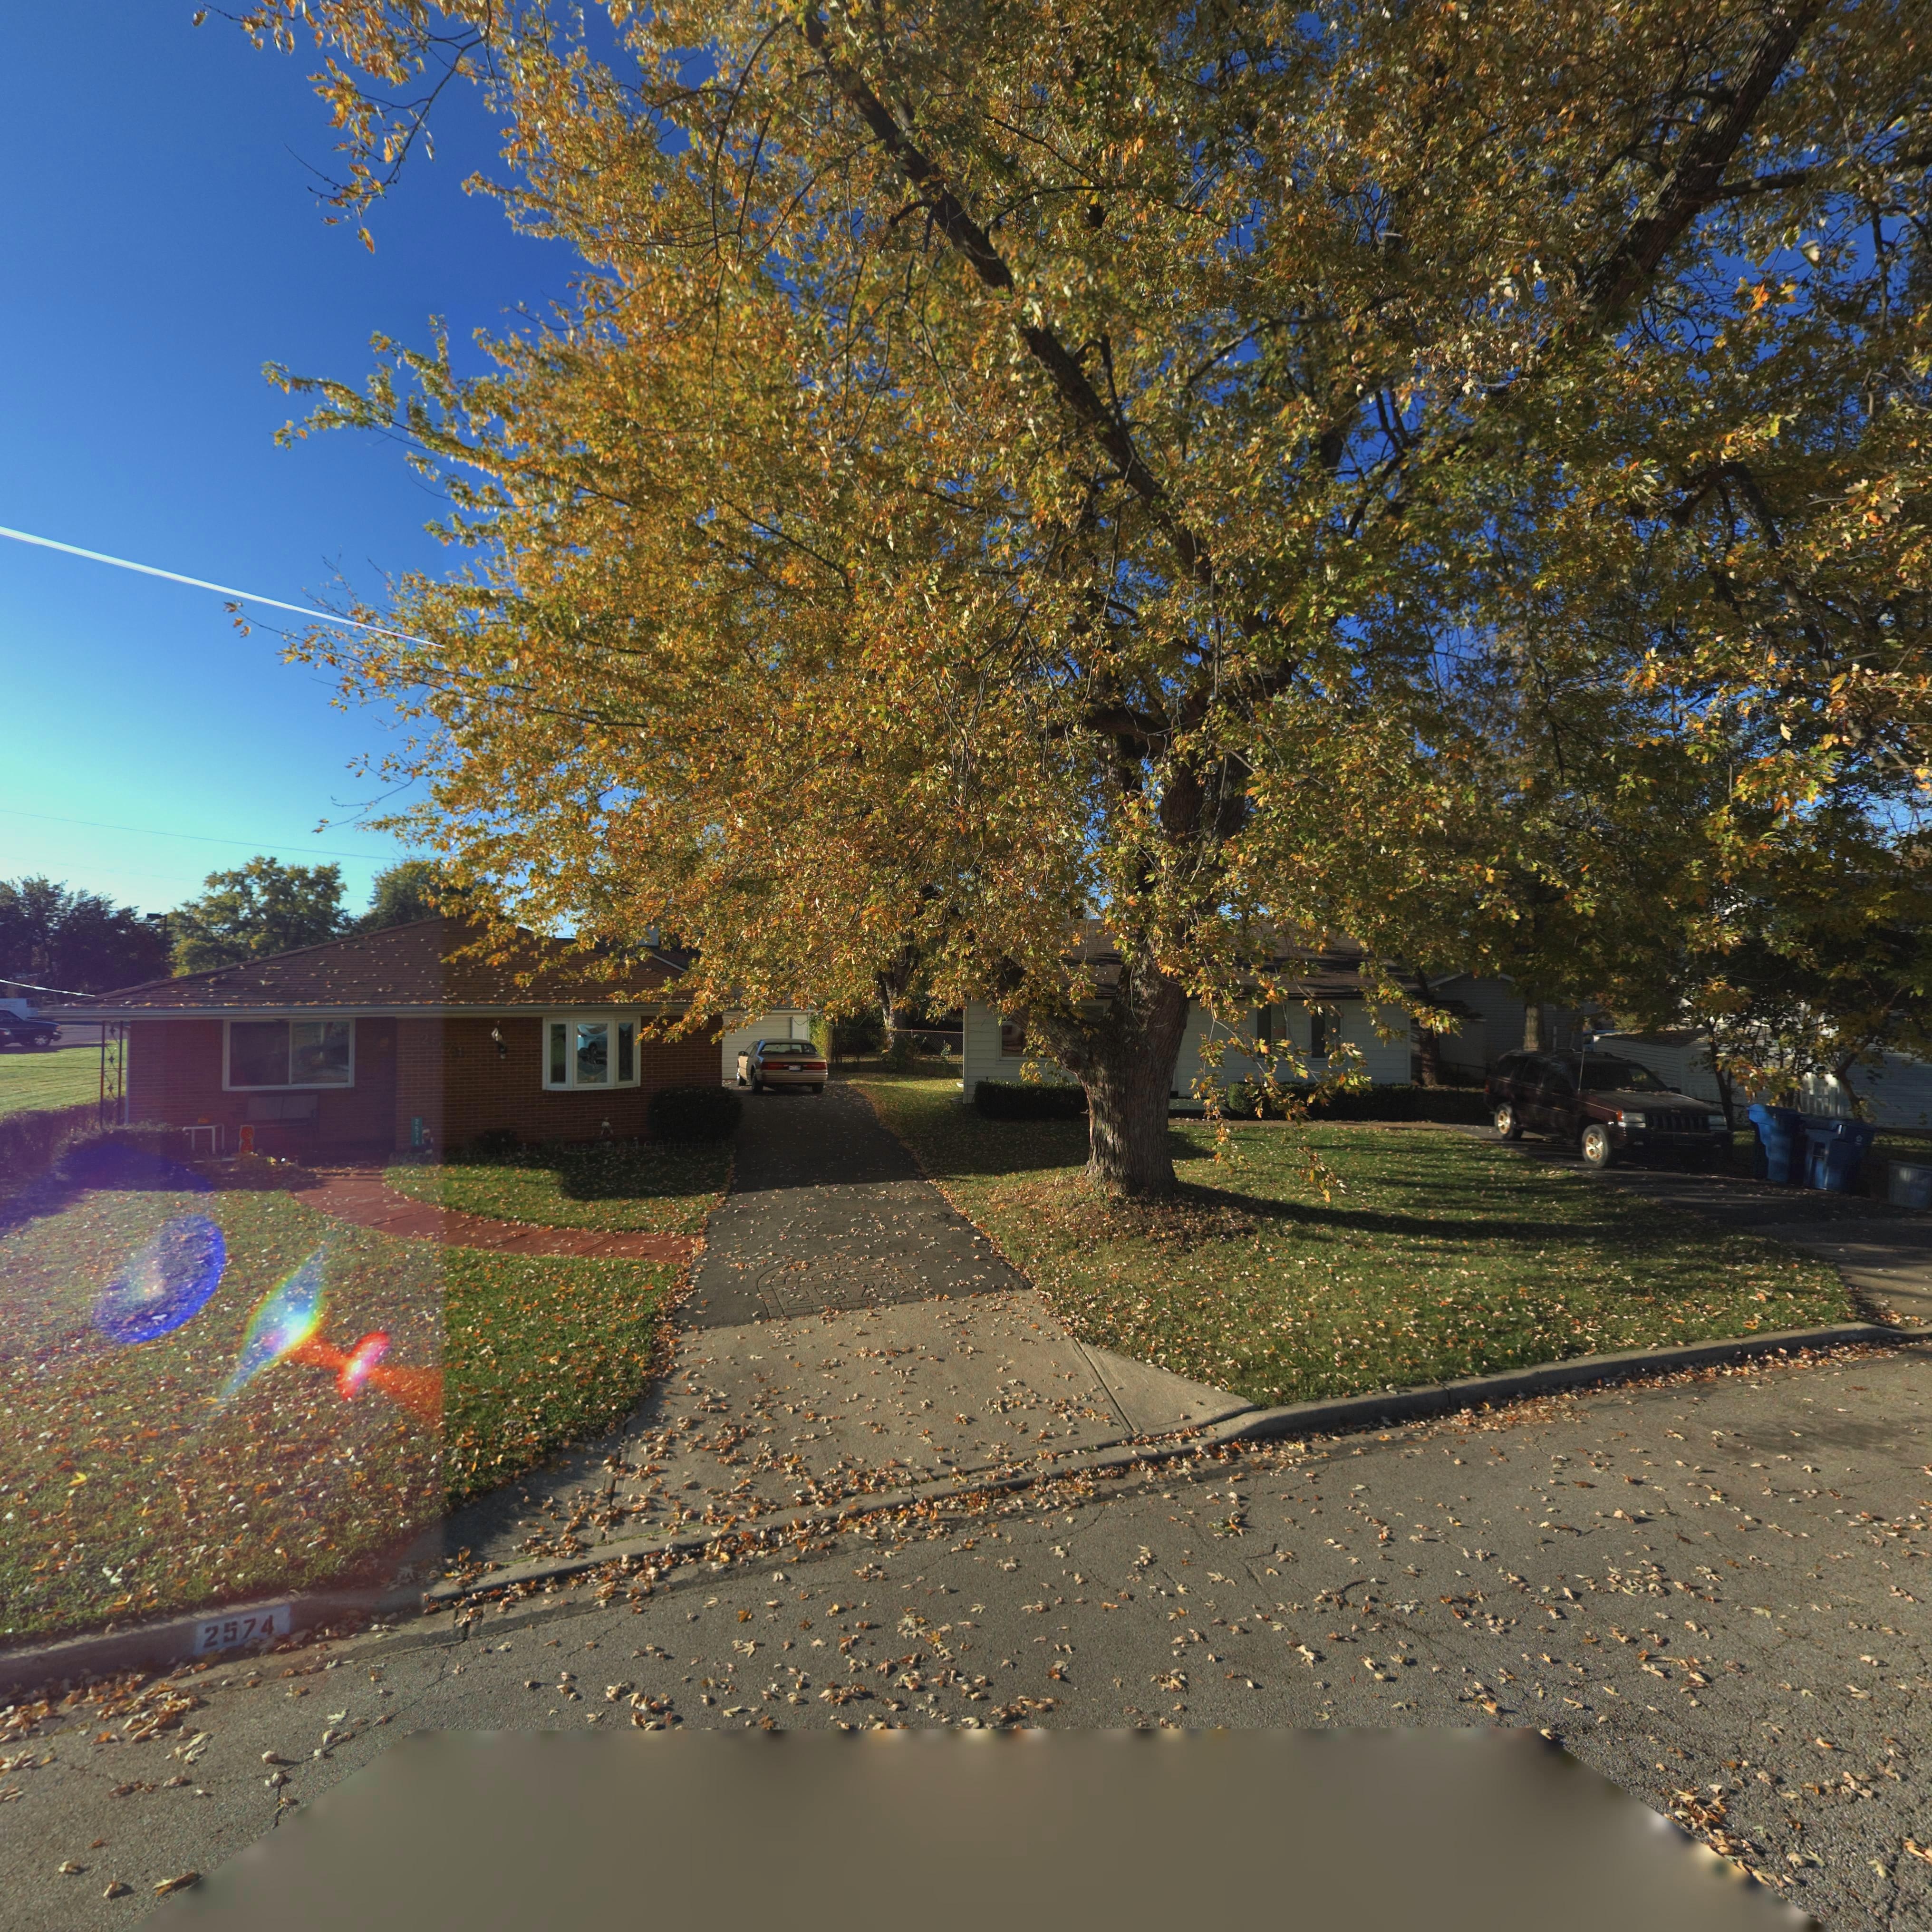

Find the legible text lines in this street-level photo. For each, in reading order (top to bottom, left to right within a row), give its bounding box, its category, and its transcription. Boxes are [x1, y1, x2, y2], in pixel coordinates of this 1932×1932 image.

[419, 1032, 463, 1057] StreetNumber: 2574
[414, 1118, 419, 1146] StreetNumber: 2574
[201, 1611, 277, 1651] StreetNumber: 2574